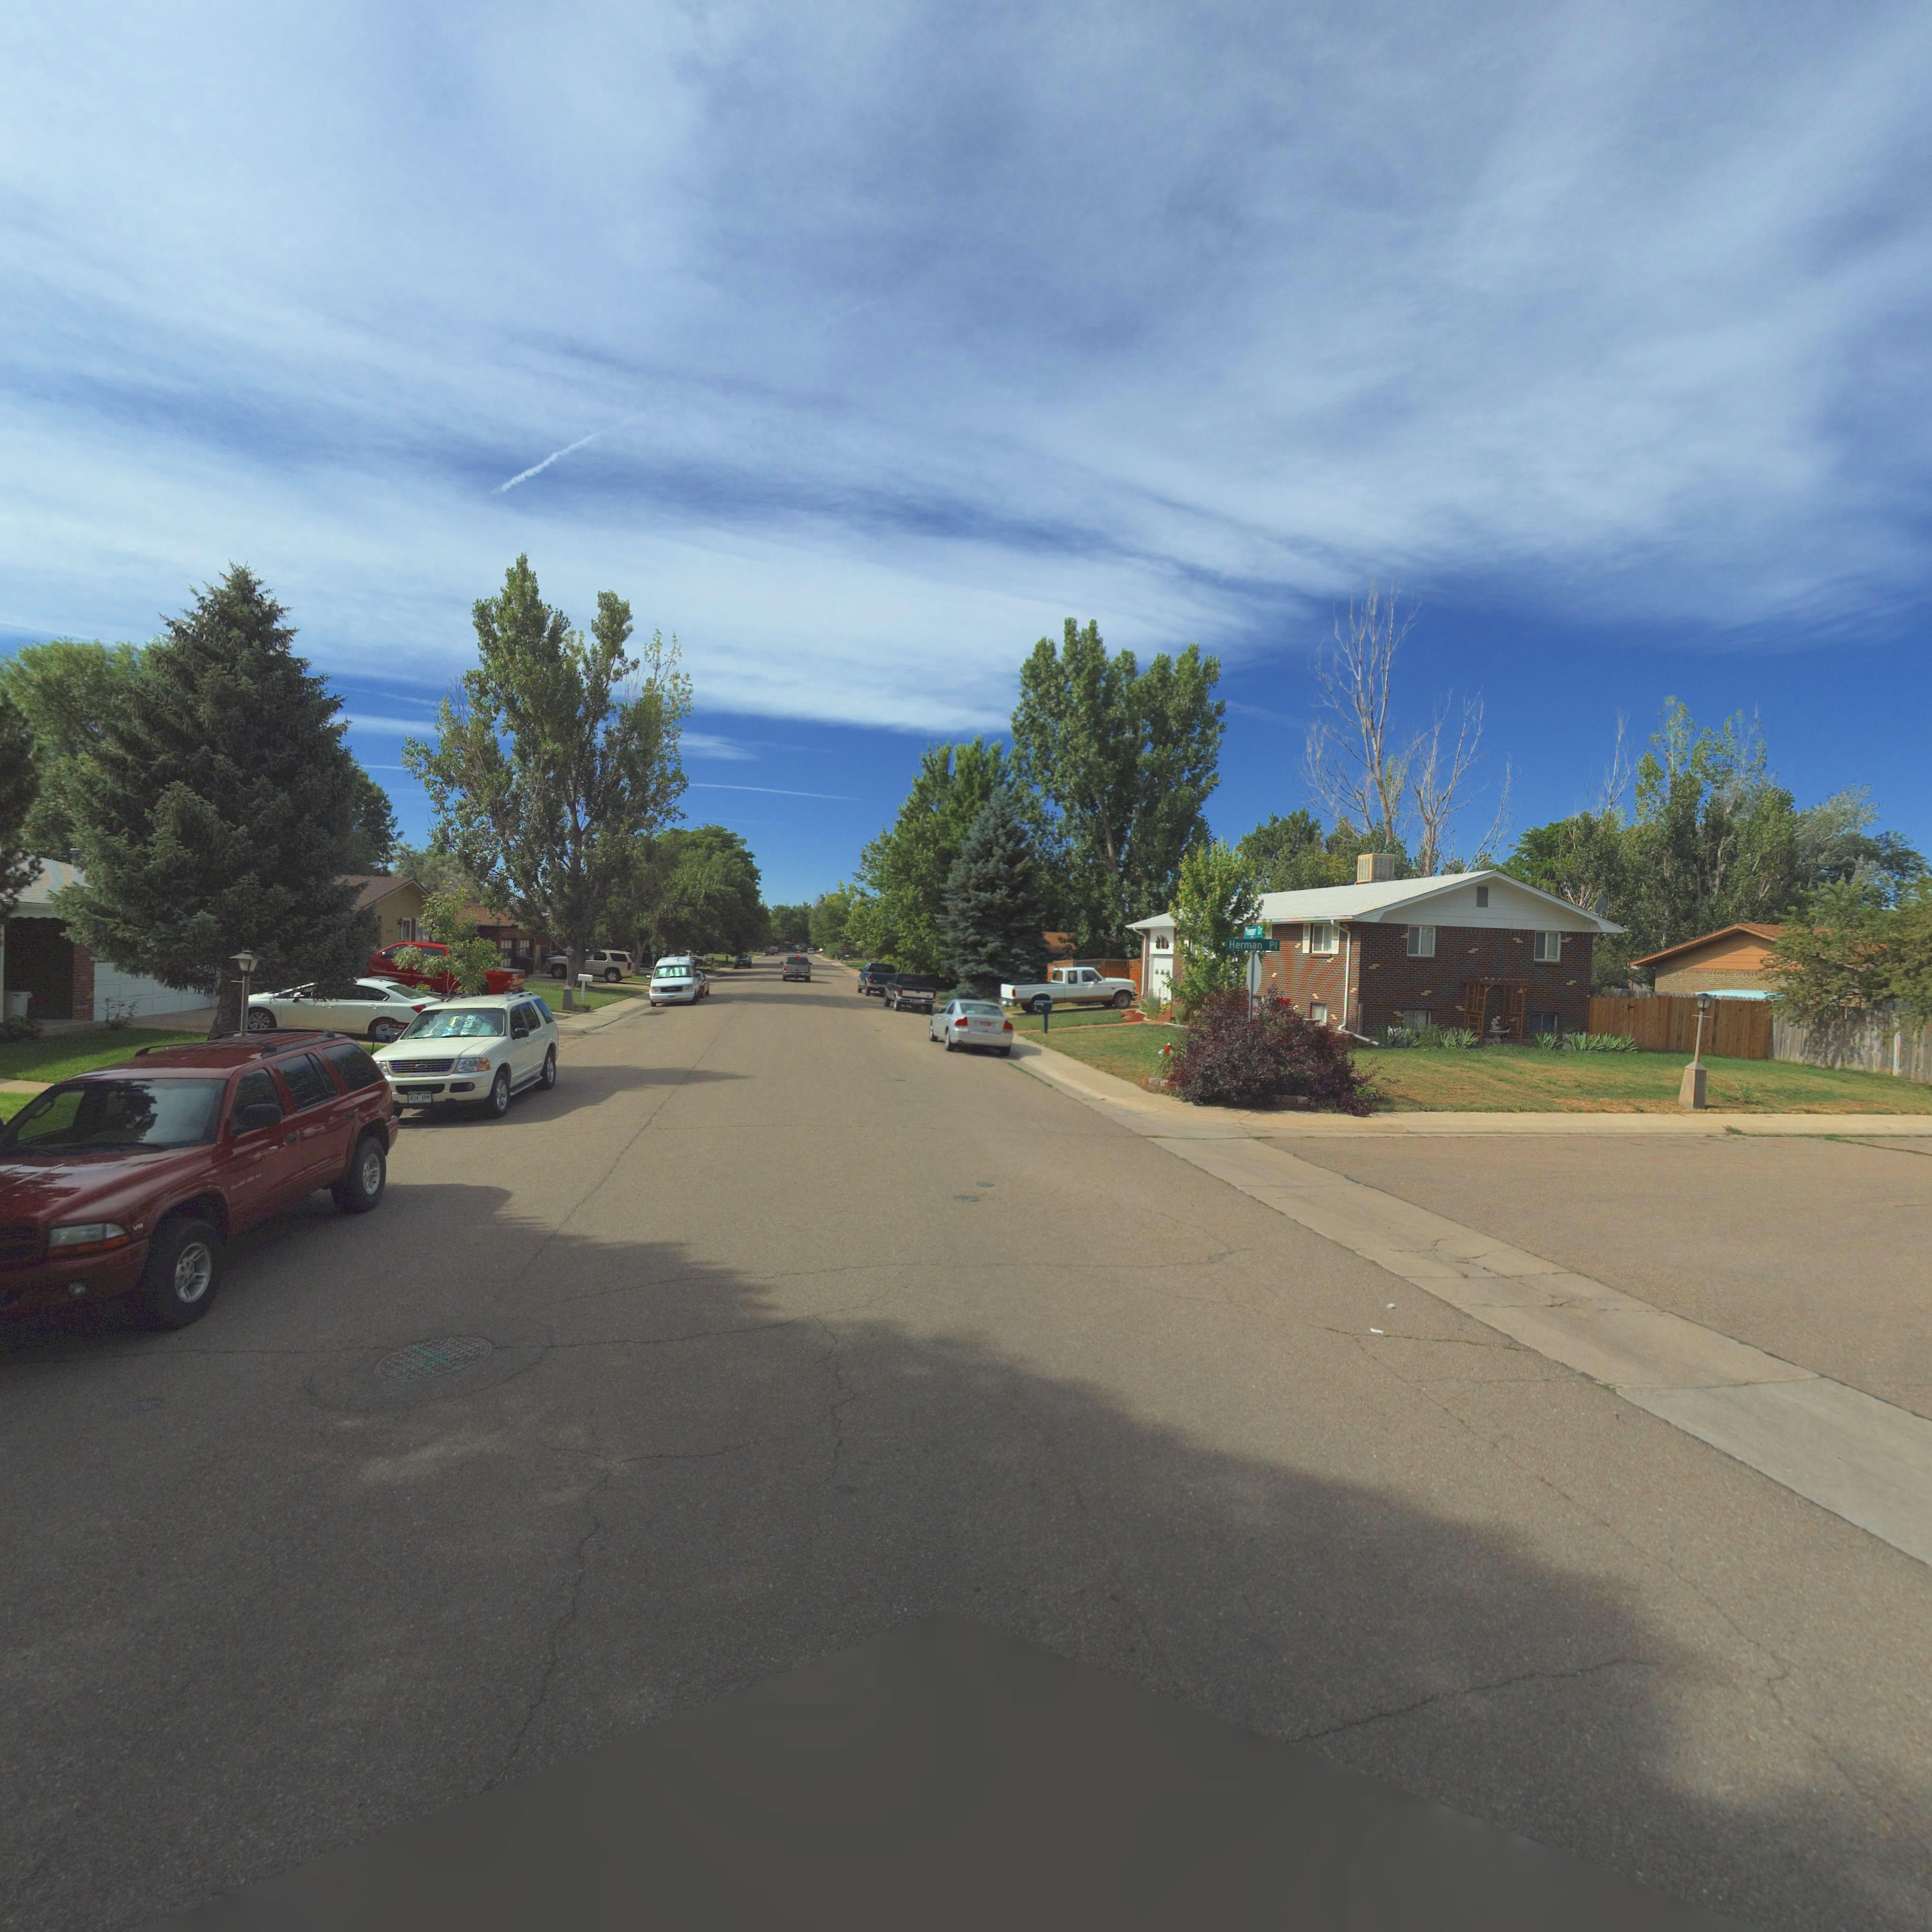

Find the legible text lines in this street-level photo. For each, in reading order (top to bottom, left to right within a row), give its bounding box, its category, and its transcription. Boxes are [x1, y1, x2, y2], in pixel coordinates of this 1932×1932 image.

[386, 929, 393, 933] StreetNumber: 1***
[1244, 926, 1262, 938] StreetName: Yeager Dr
[1229, 939, 1277, 950] StreetName: Herman Pl